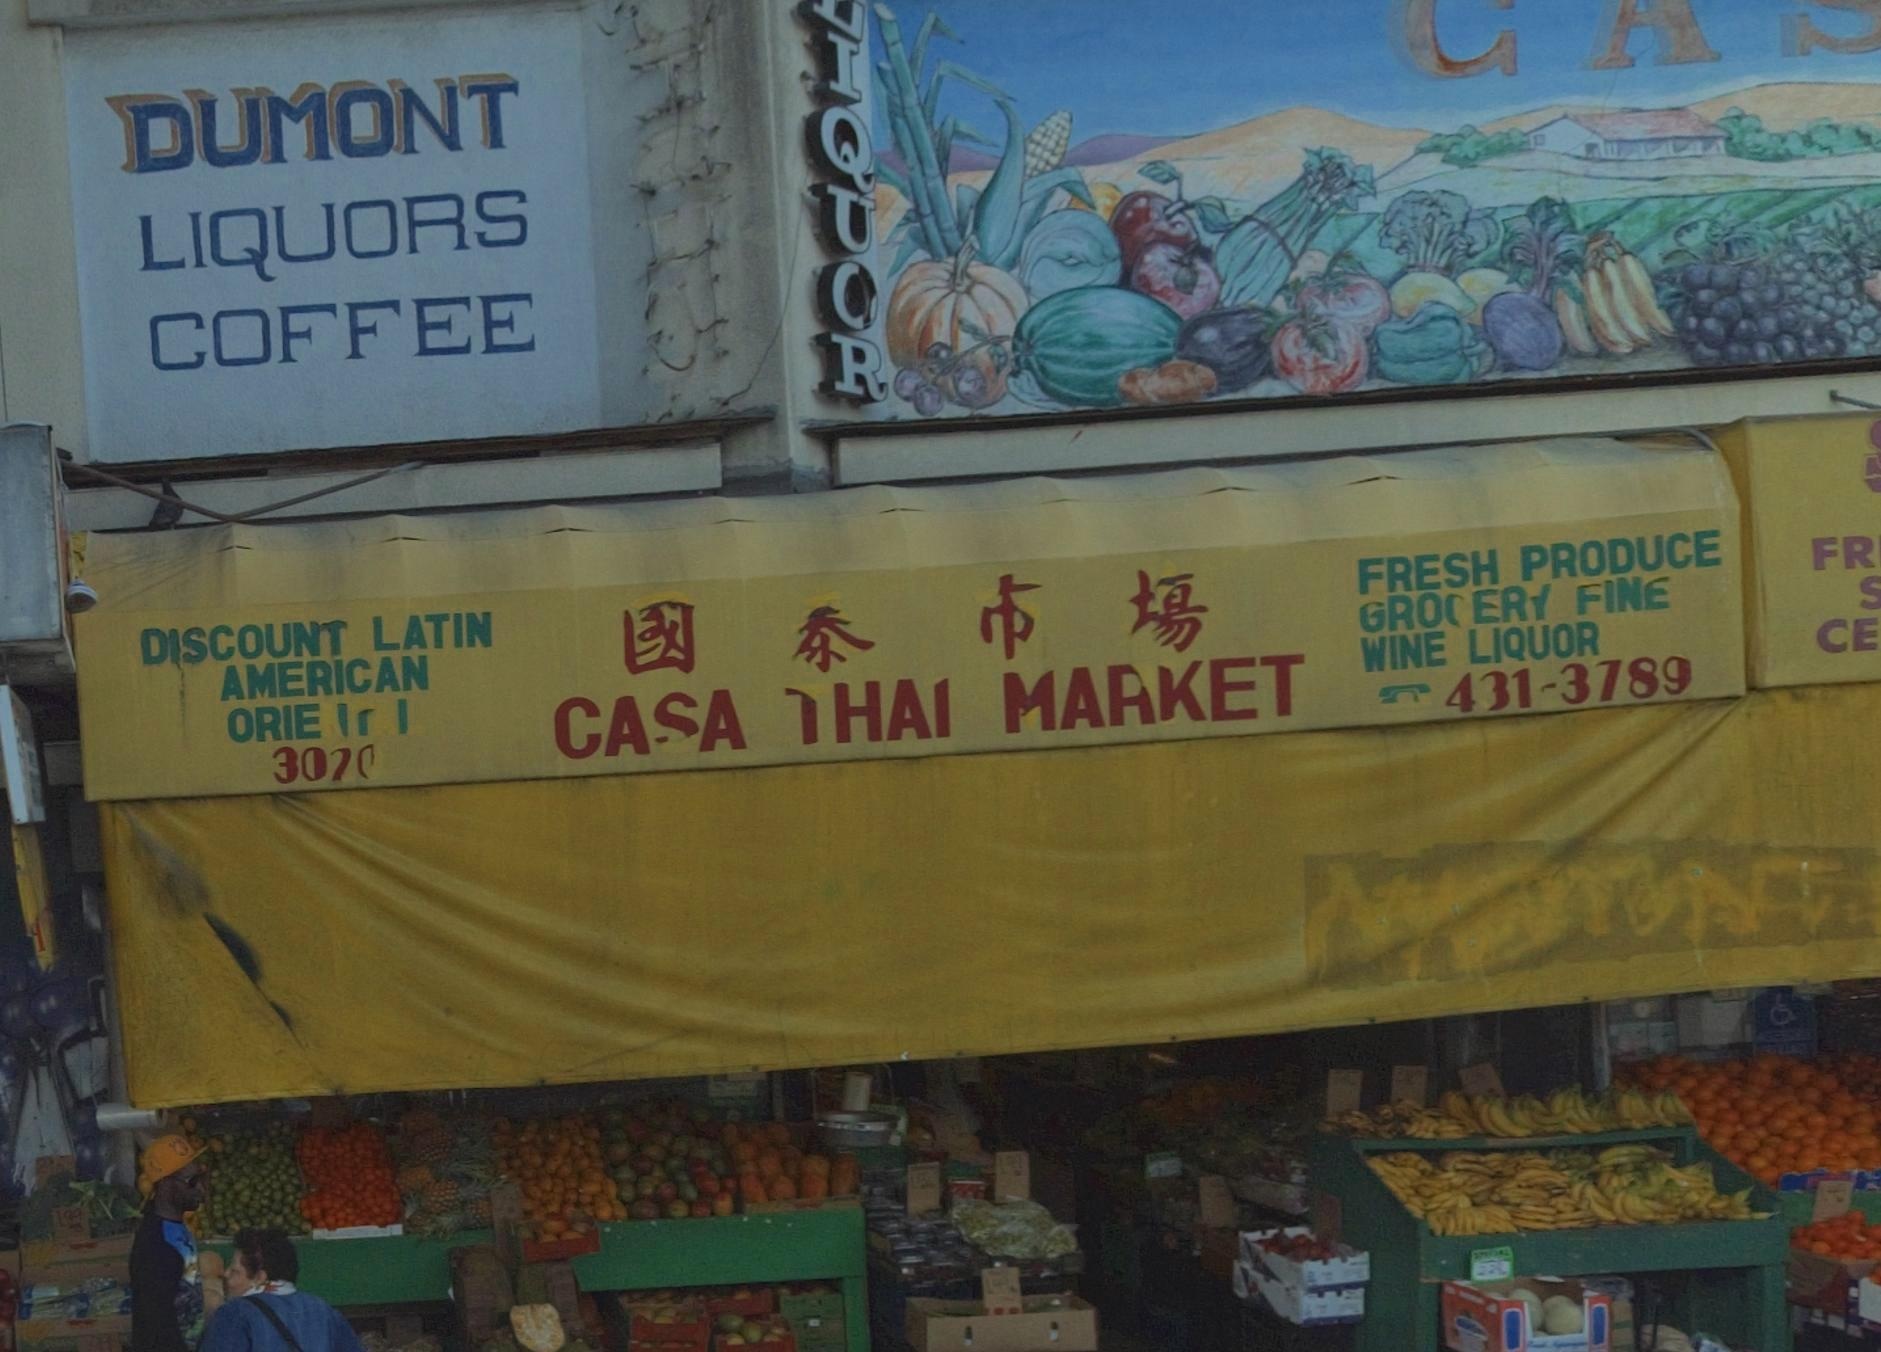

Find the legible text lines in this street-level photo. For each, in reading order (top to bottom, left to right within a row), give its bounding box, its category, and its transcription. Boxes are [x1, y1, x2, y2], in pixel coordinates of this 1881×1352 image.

[96, 66, 529, 185] None: DUMONT
[130, 182, 542, 288] None: LIQUORS
[802, 19, 893, 412] None: IQUOR
[143, 285, 545, 377] None: COFFEE
[1352, 524, 1729, 599] None: FRESH PRODUCE
[1807, 531, 1879, 574] None: FR
[224, 699, 329, 749] None: ORIE
[135, 605, 504, 672] None: DISCOUNT LATIN
[214, 649, 434, 705] None: AMERICAN
[546, 643, 1317, 768] BusinessName: CASA THAI MARKET
[1356, 617, 1607, 677] None: WINE LIQUOR
[1353, 570, 1680, 637] None: GRO*ER* FINE
[1438, 648, 1699, 717] None: 431-3789
[1810, 613, 1880, 660] None: CE
[267, 738, 393, 790] StreetNumber: 302*